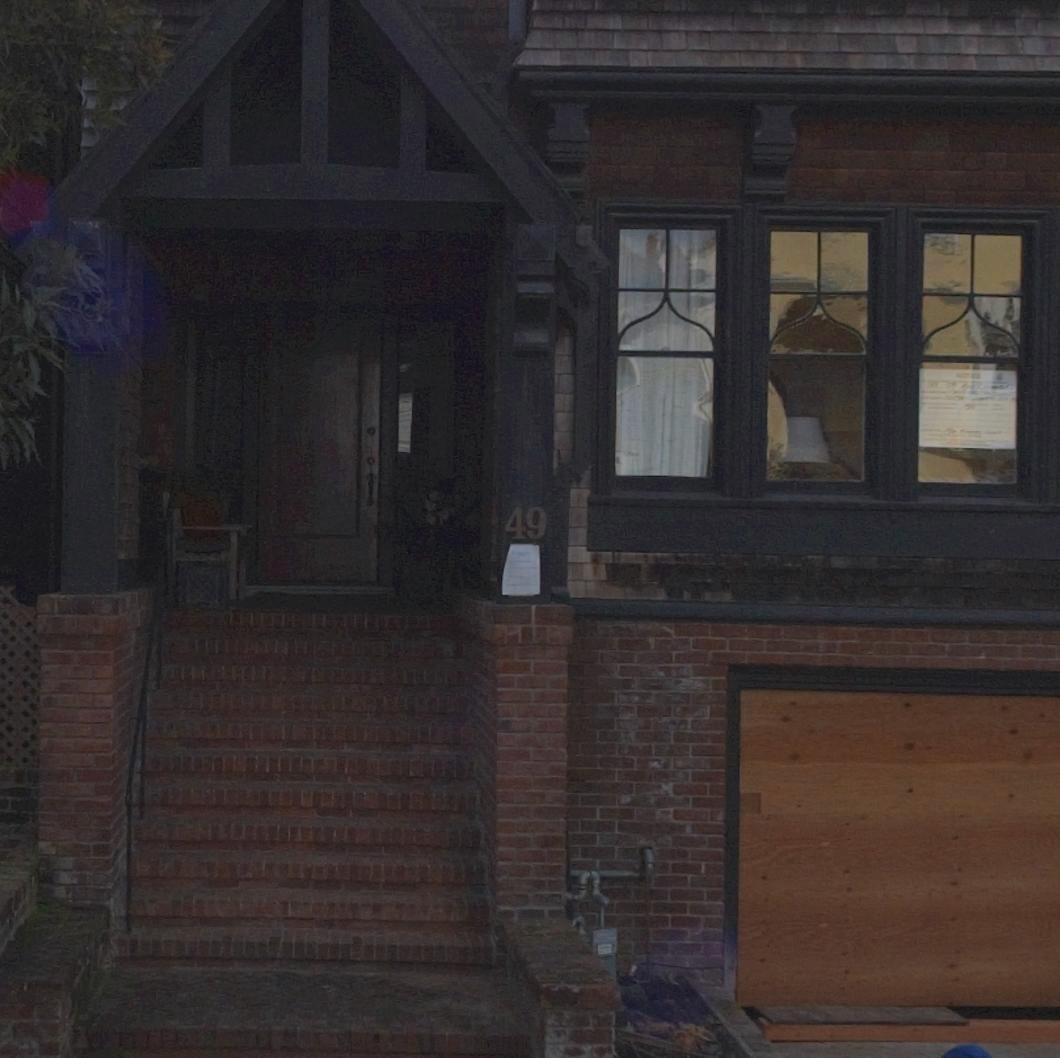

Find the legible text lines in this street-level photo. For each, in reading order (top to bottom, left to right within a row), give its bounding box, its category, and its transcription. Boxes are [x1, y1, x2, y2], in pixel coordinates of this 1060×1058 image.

[503, 505, 548, 541] StreetNumber: 49